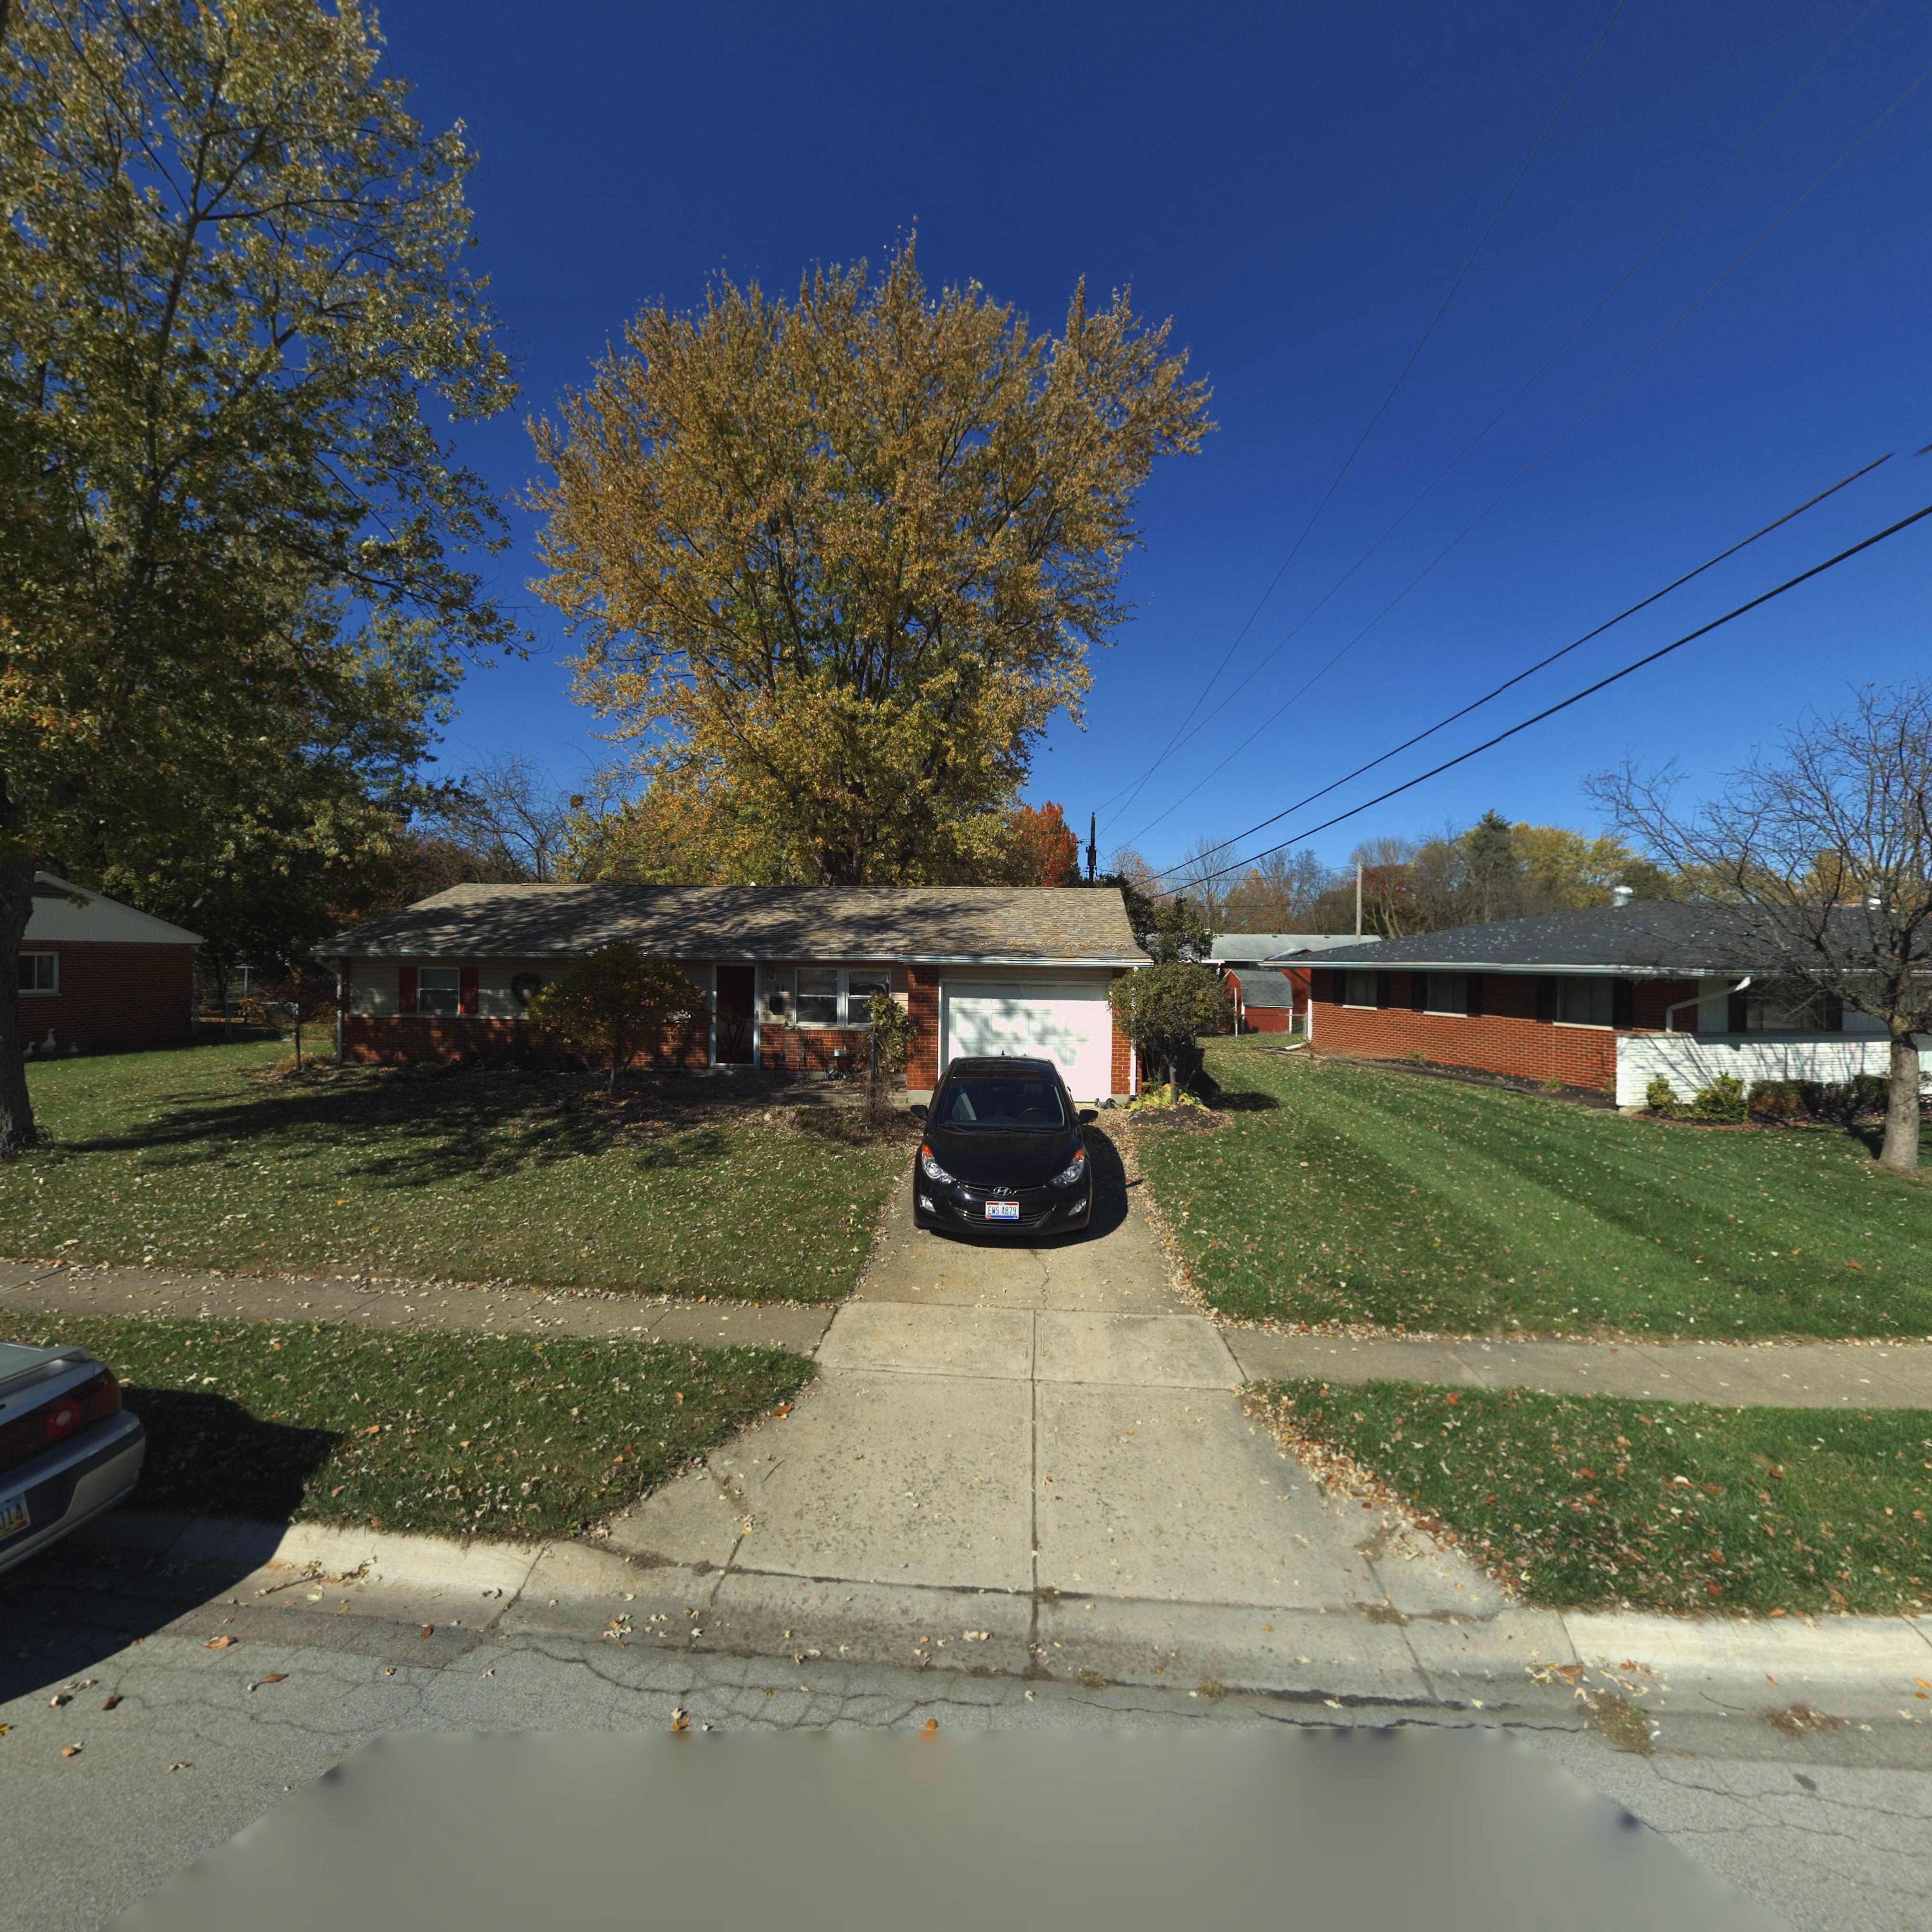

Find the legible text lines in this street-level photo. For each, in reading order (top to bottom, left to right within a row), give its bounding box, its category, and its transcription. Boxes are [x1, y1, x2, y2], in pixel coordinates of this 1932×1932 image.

[767, 984, 785, 992] StreetNumber: 721